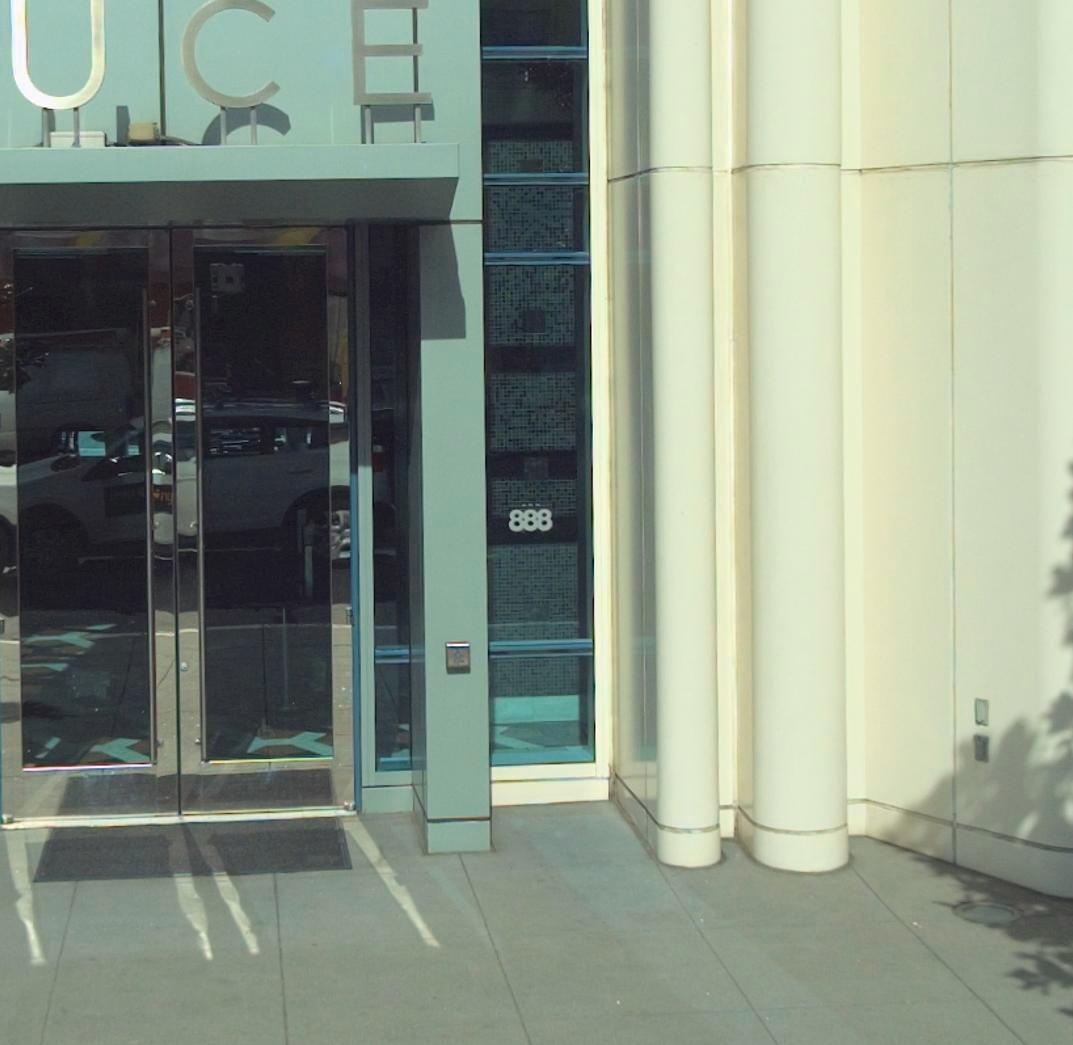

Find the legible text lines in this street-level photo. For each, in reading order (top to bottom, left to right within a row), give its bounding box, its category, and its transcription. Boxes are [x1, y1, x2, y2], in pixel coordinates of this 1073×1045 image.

[176, 0, 439, 120] BusinessName: CE
[505, 505, 558, 536] StreetNumber: 888